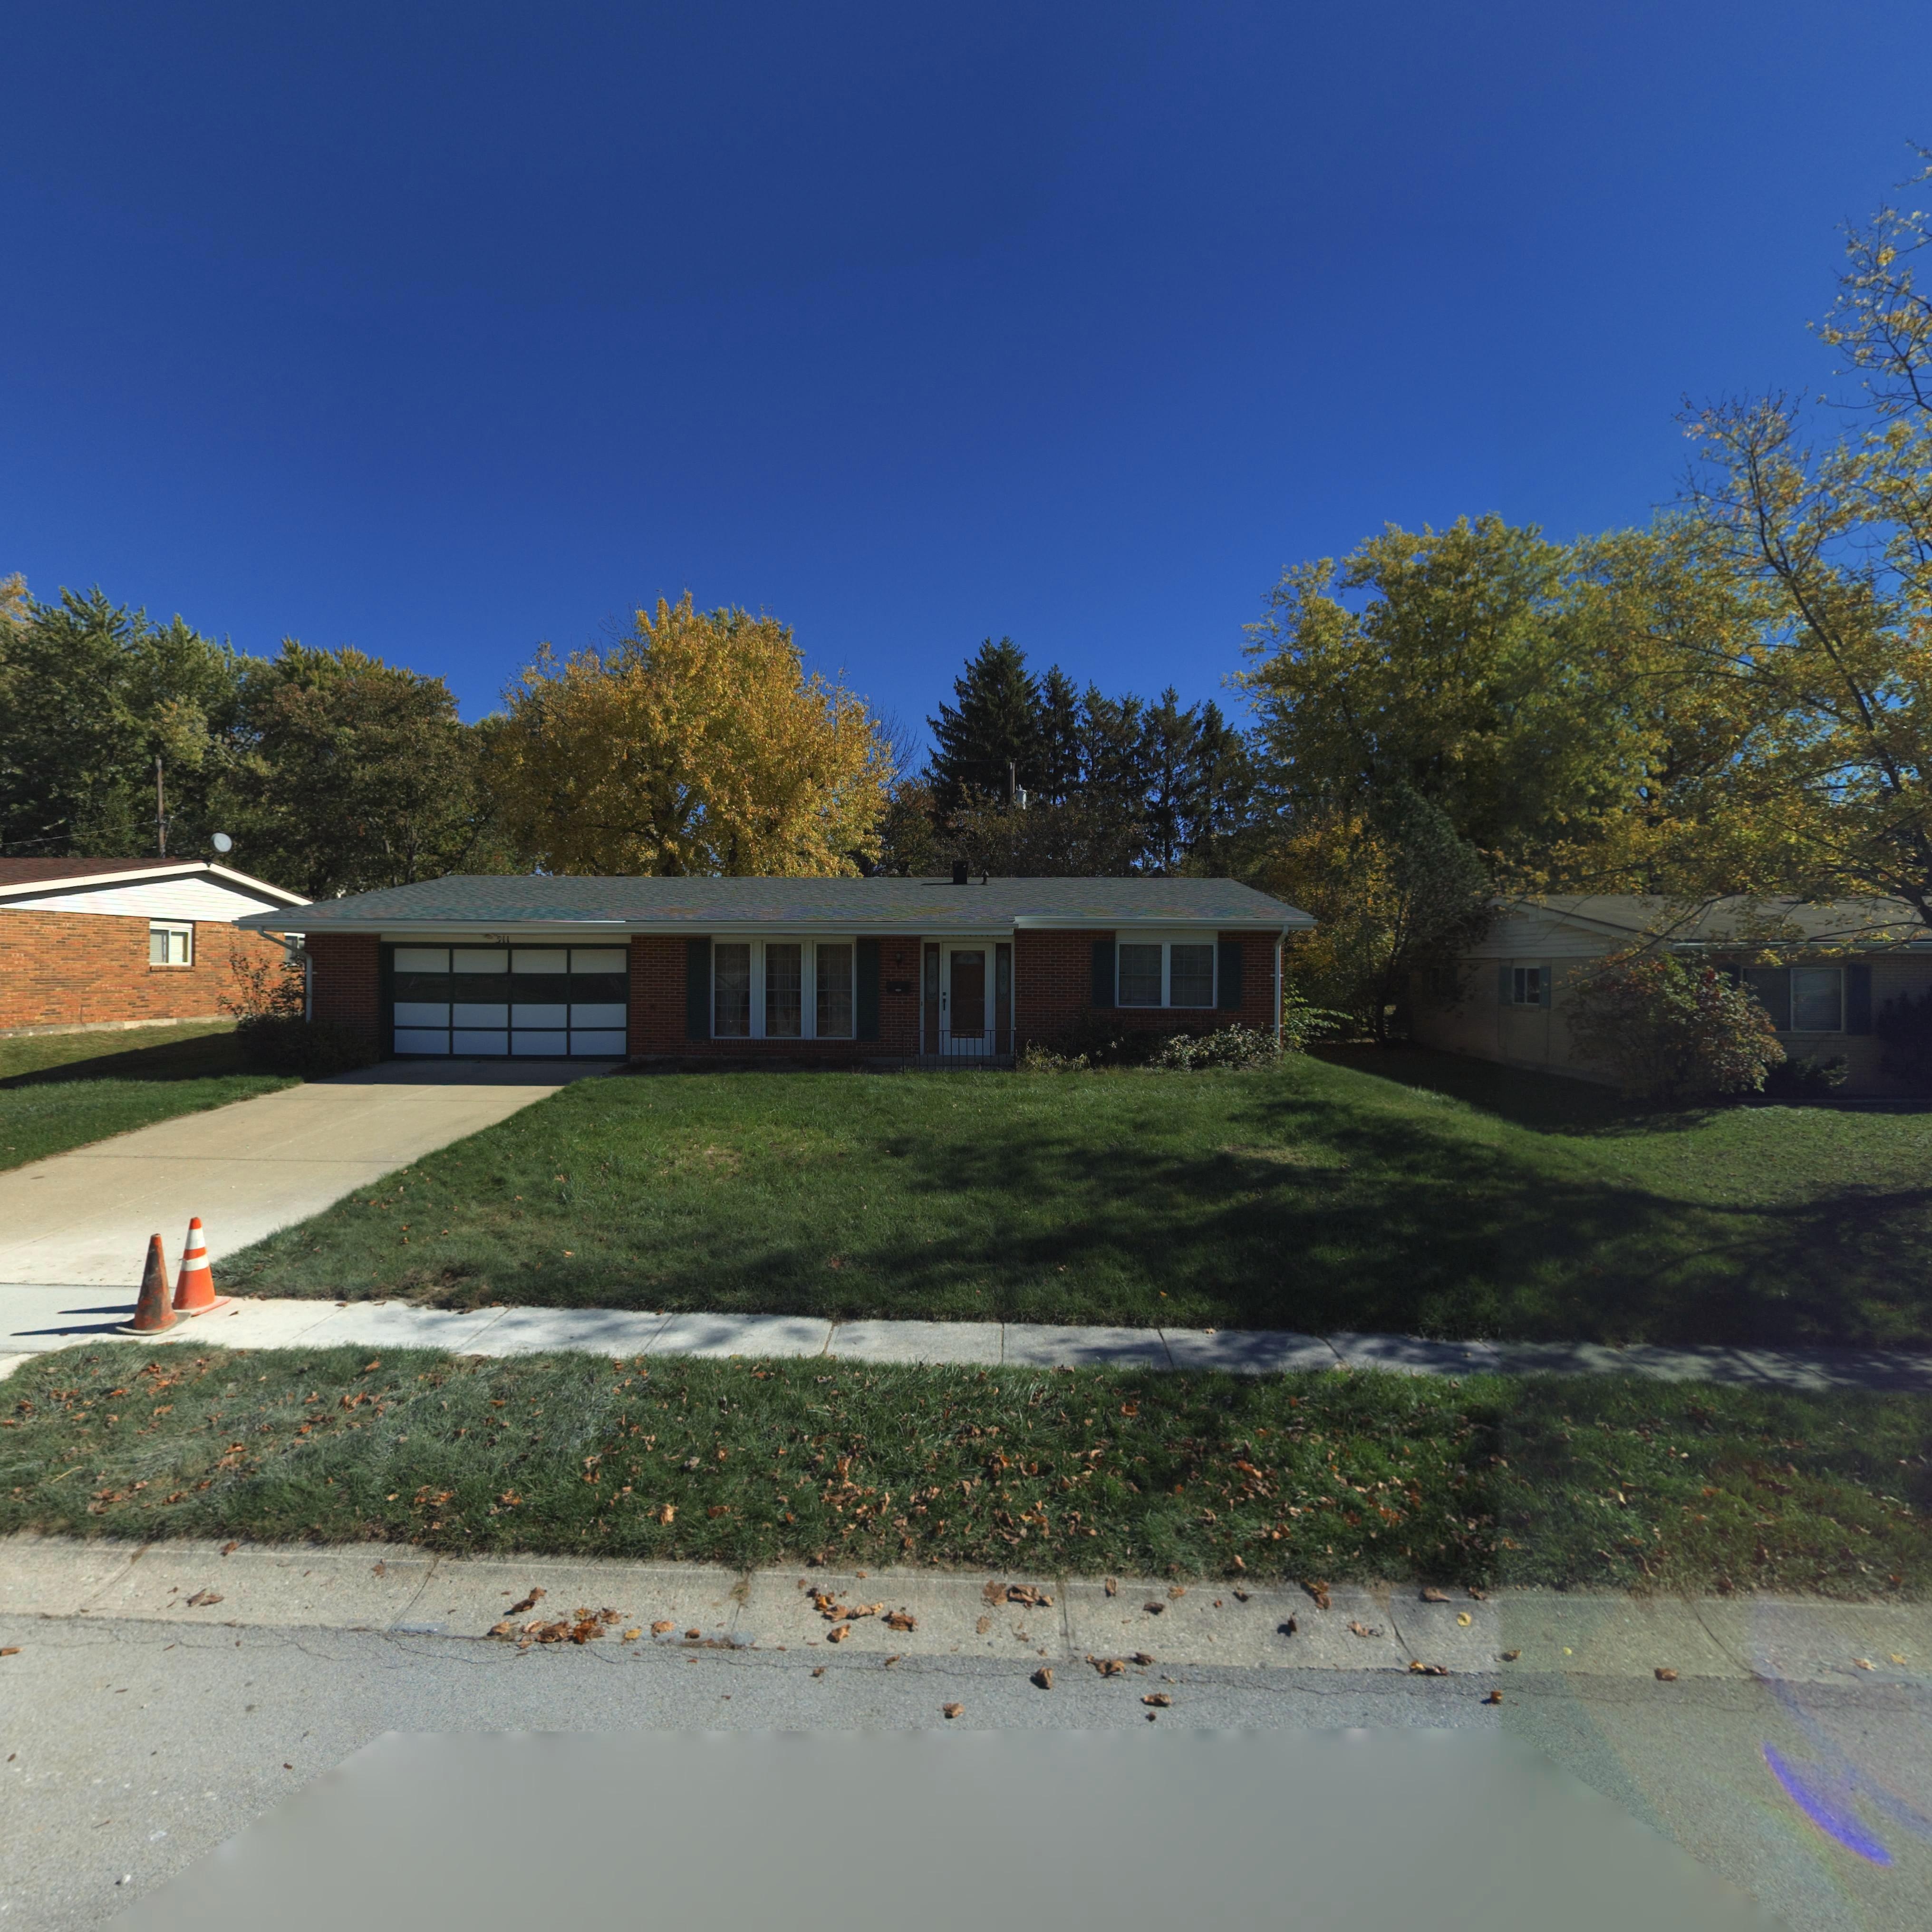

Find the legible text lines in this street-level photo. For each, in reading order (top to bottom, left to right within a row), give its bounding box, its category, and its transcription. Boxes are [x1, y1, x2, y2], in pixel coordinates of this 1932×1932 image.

[495, 935, 509, 944] StreetNumber: 311